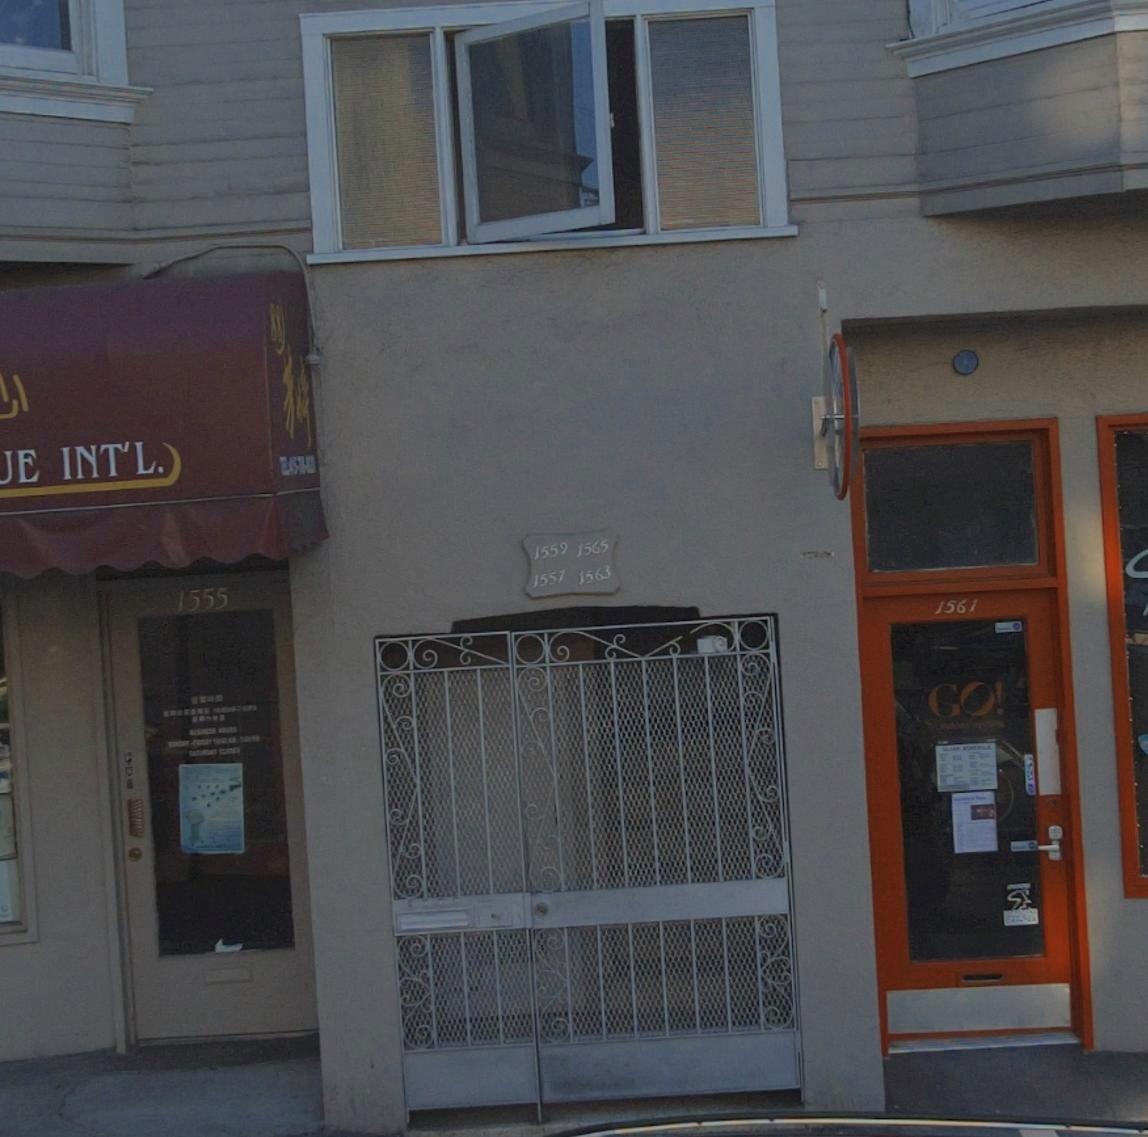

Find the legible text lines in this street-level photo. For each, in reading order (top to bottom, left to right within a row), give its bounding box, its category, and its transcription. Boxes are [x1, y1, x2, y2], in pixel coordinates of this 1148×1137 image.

[15, 440, 164, 485] BusinessName: E INT'L.
[533, 541, 569, 562] StreetNumber: 1559
[576, 538, 609, 559] StreetNumber: 1565
[532, 568, 567, 589] StreetNumber: 1557
[578, 563, 612, 587] StreetNumber: 1563
[175, 586, 230, 615] StreetNumber: 1555
[932, 597, 981, 616] StreetNumber: 1561
[927, 681, 996, 719] BusinessName: GO